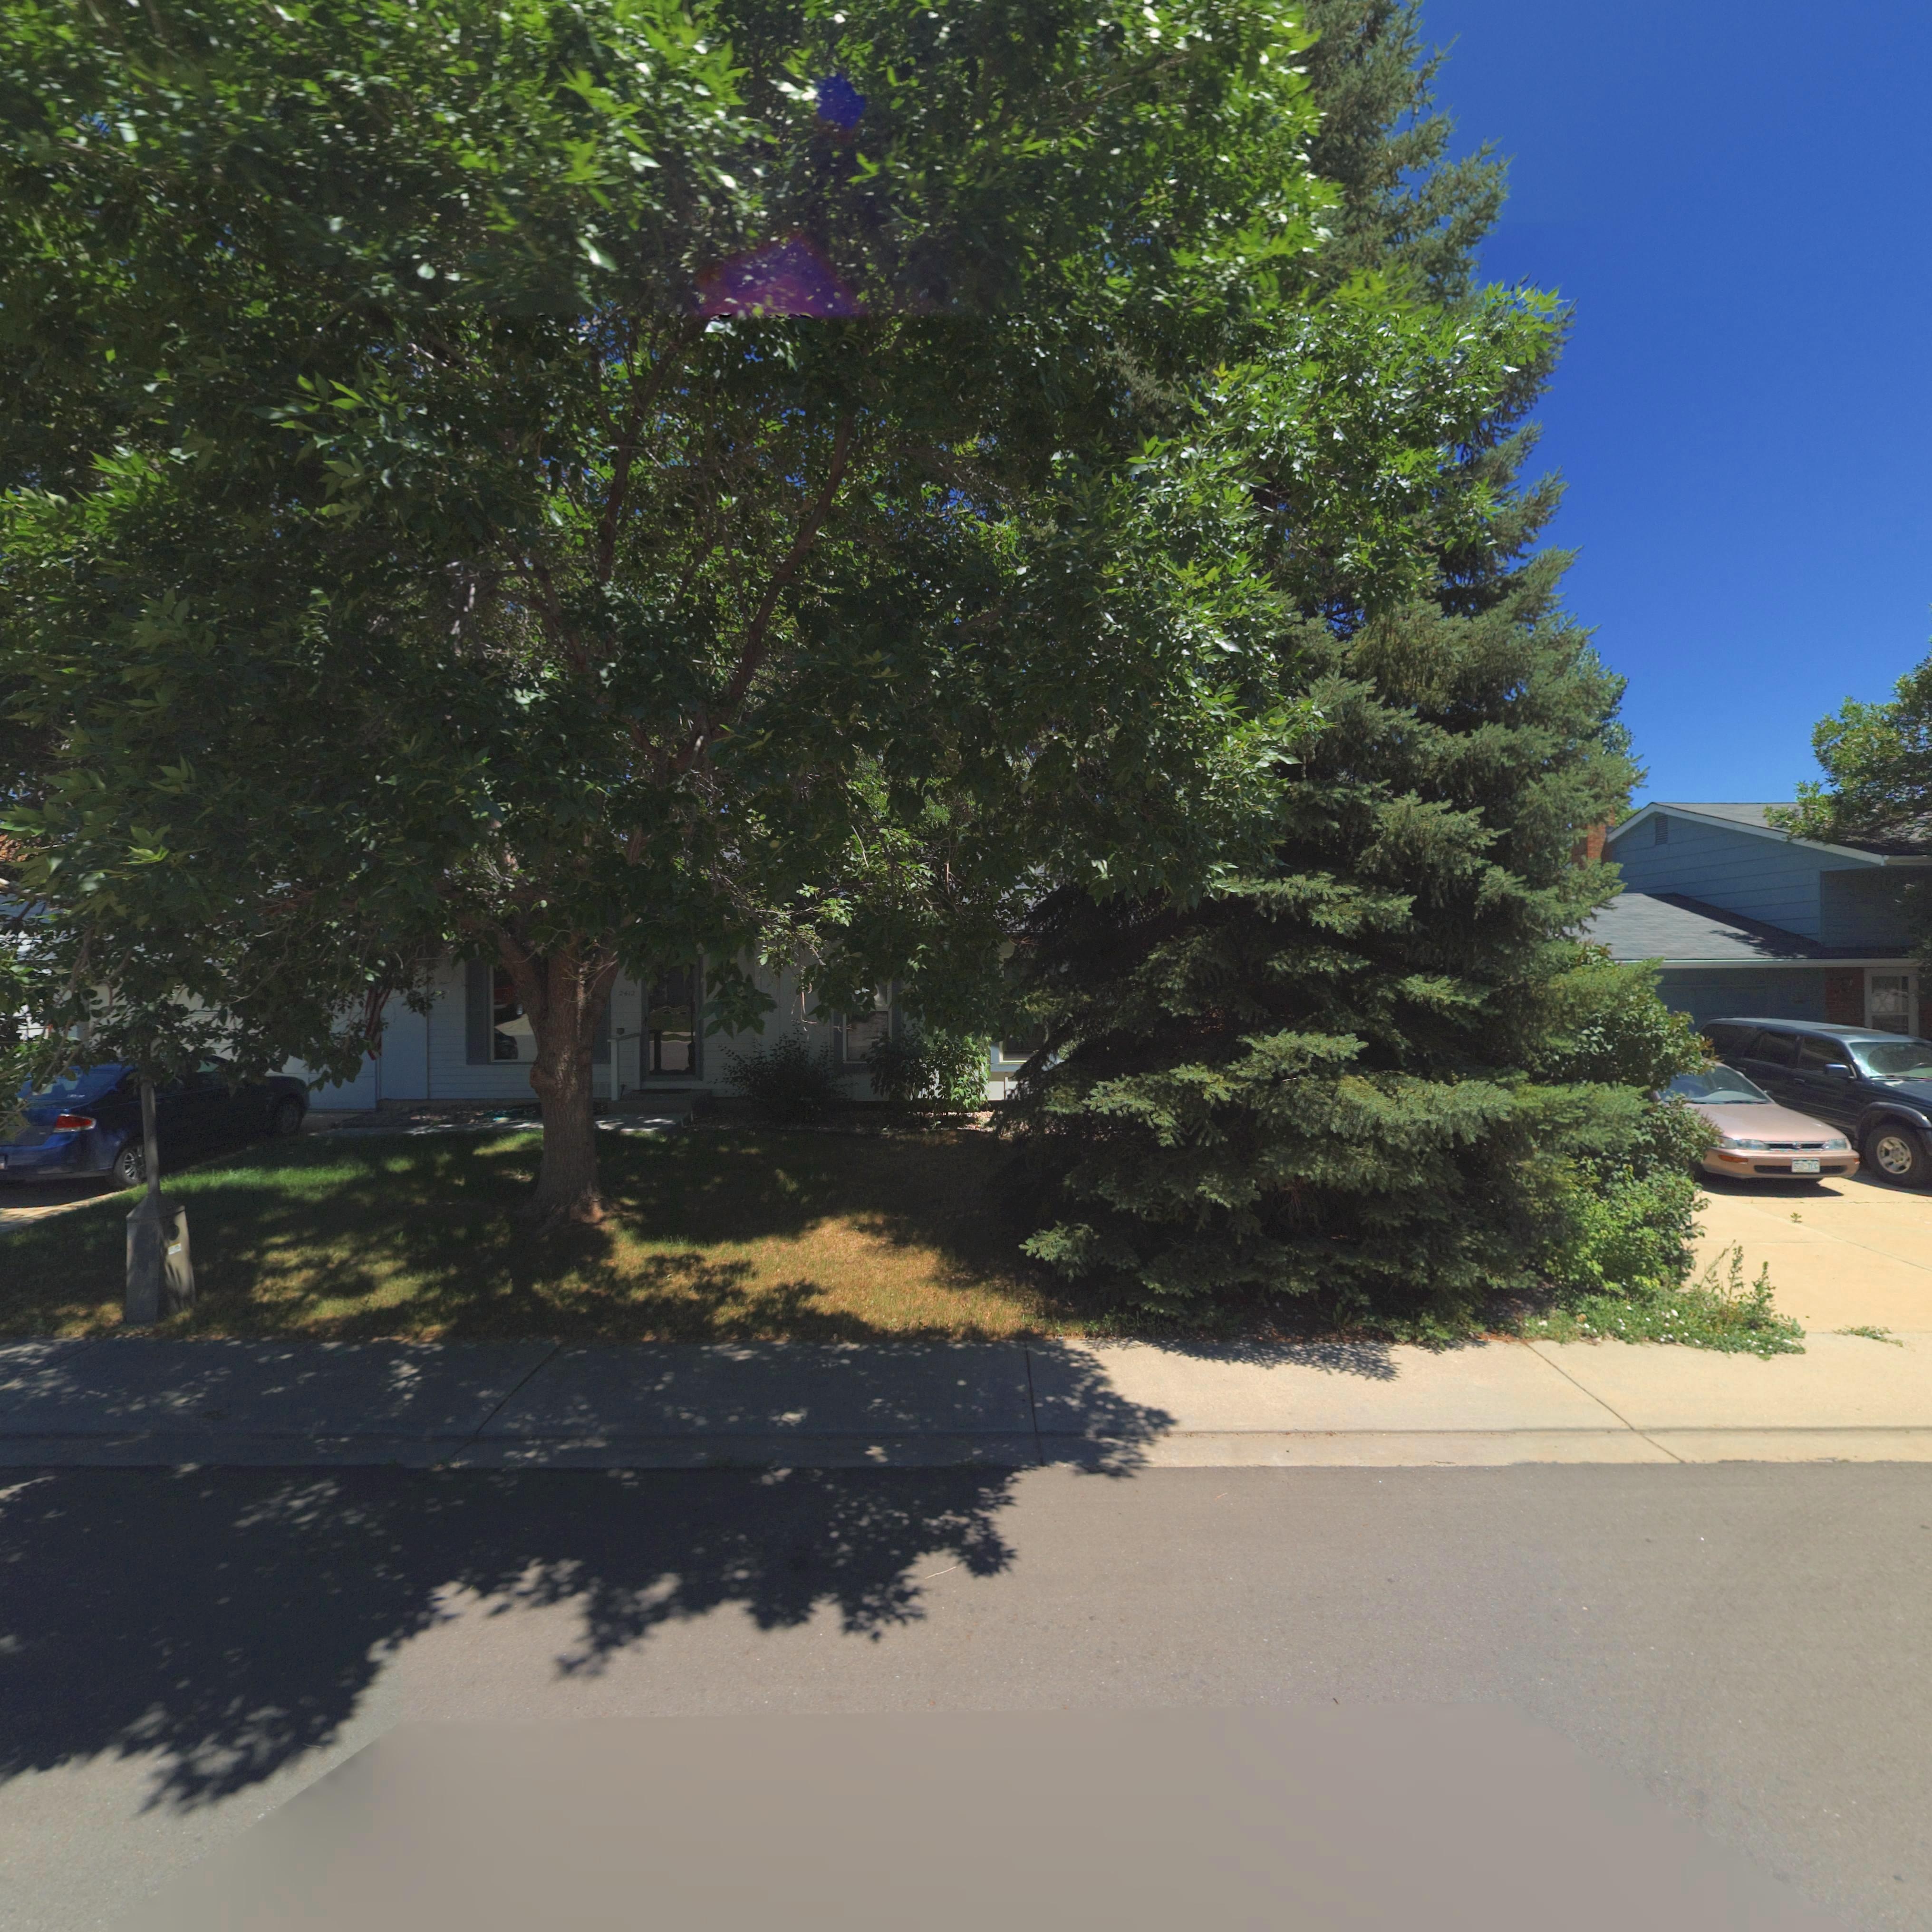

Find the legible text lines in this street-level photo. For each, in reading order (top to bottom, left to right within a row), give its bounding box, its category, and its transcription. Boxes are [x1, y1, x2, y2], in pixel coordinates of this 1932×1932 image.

[618, 990, 635, 996] StreetNumber: 2412